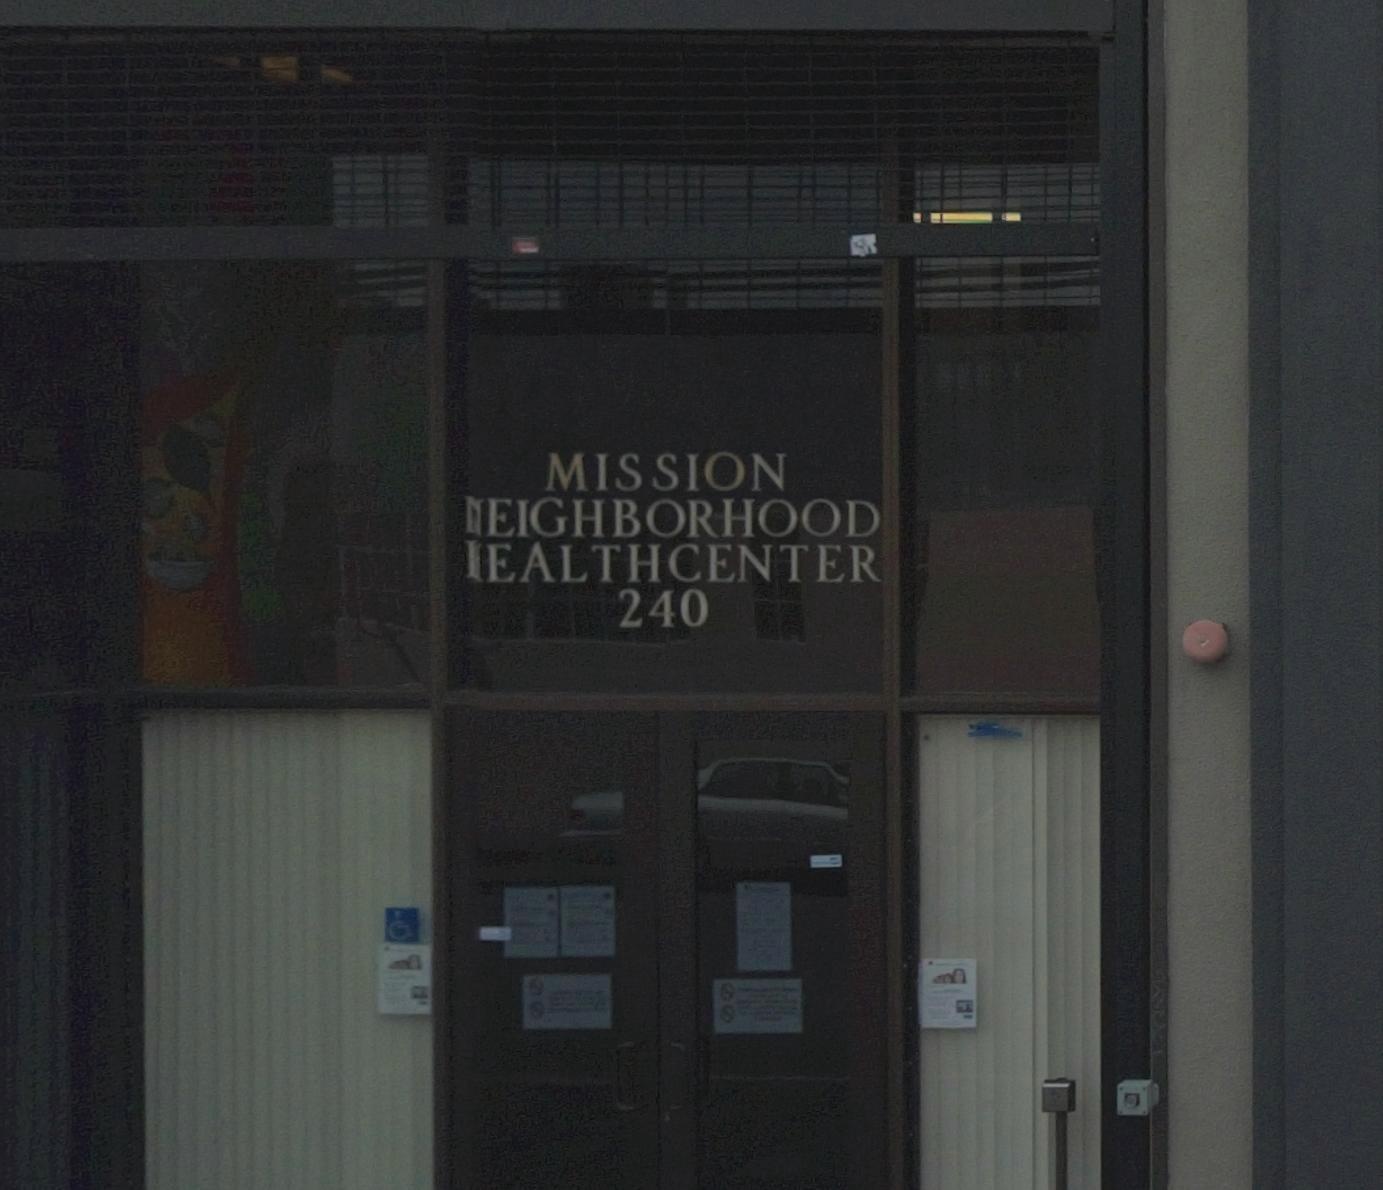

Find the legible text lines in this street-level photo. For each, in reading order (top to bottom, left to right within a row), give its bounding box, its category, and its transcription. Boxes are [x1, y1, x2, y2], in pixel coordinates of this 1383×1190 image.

[542, 451, 788, 492] BusinessName: MISSION
[461, 493, 881, 538] BusinessName: *EIGHBORHOOD
[463, 538, 882, 583] BusinessName: *EALTHCENTER
[616, 586, 710, 630] StreetNumber: 240